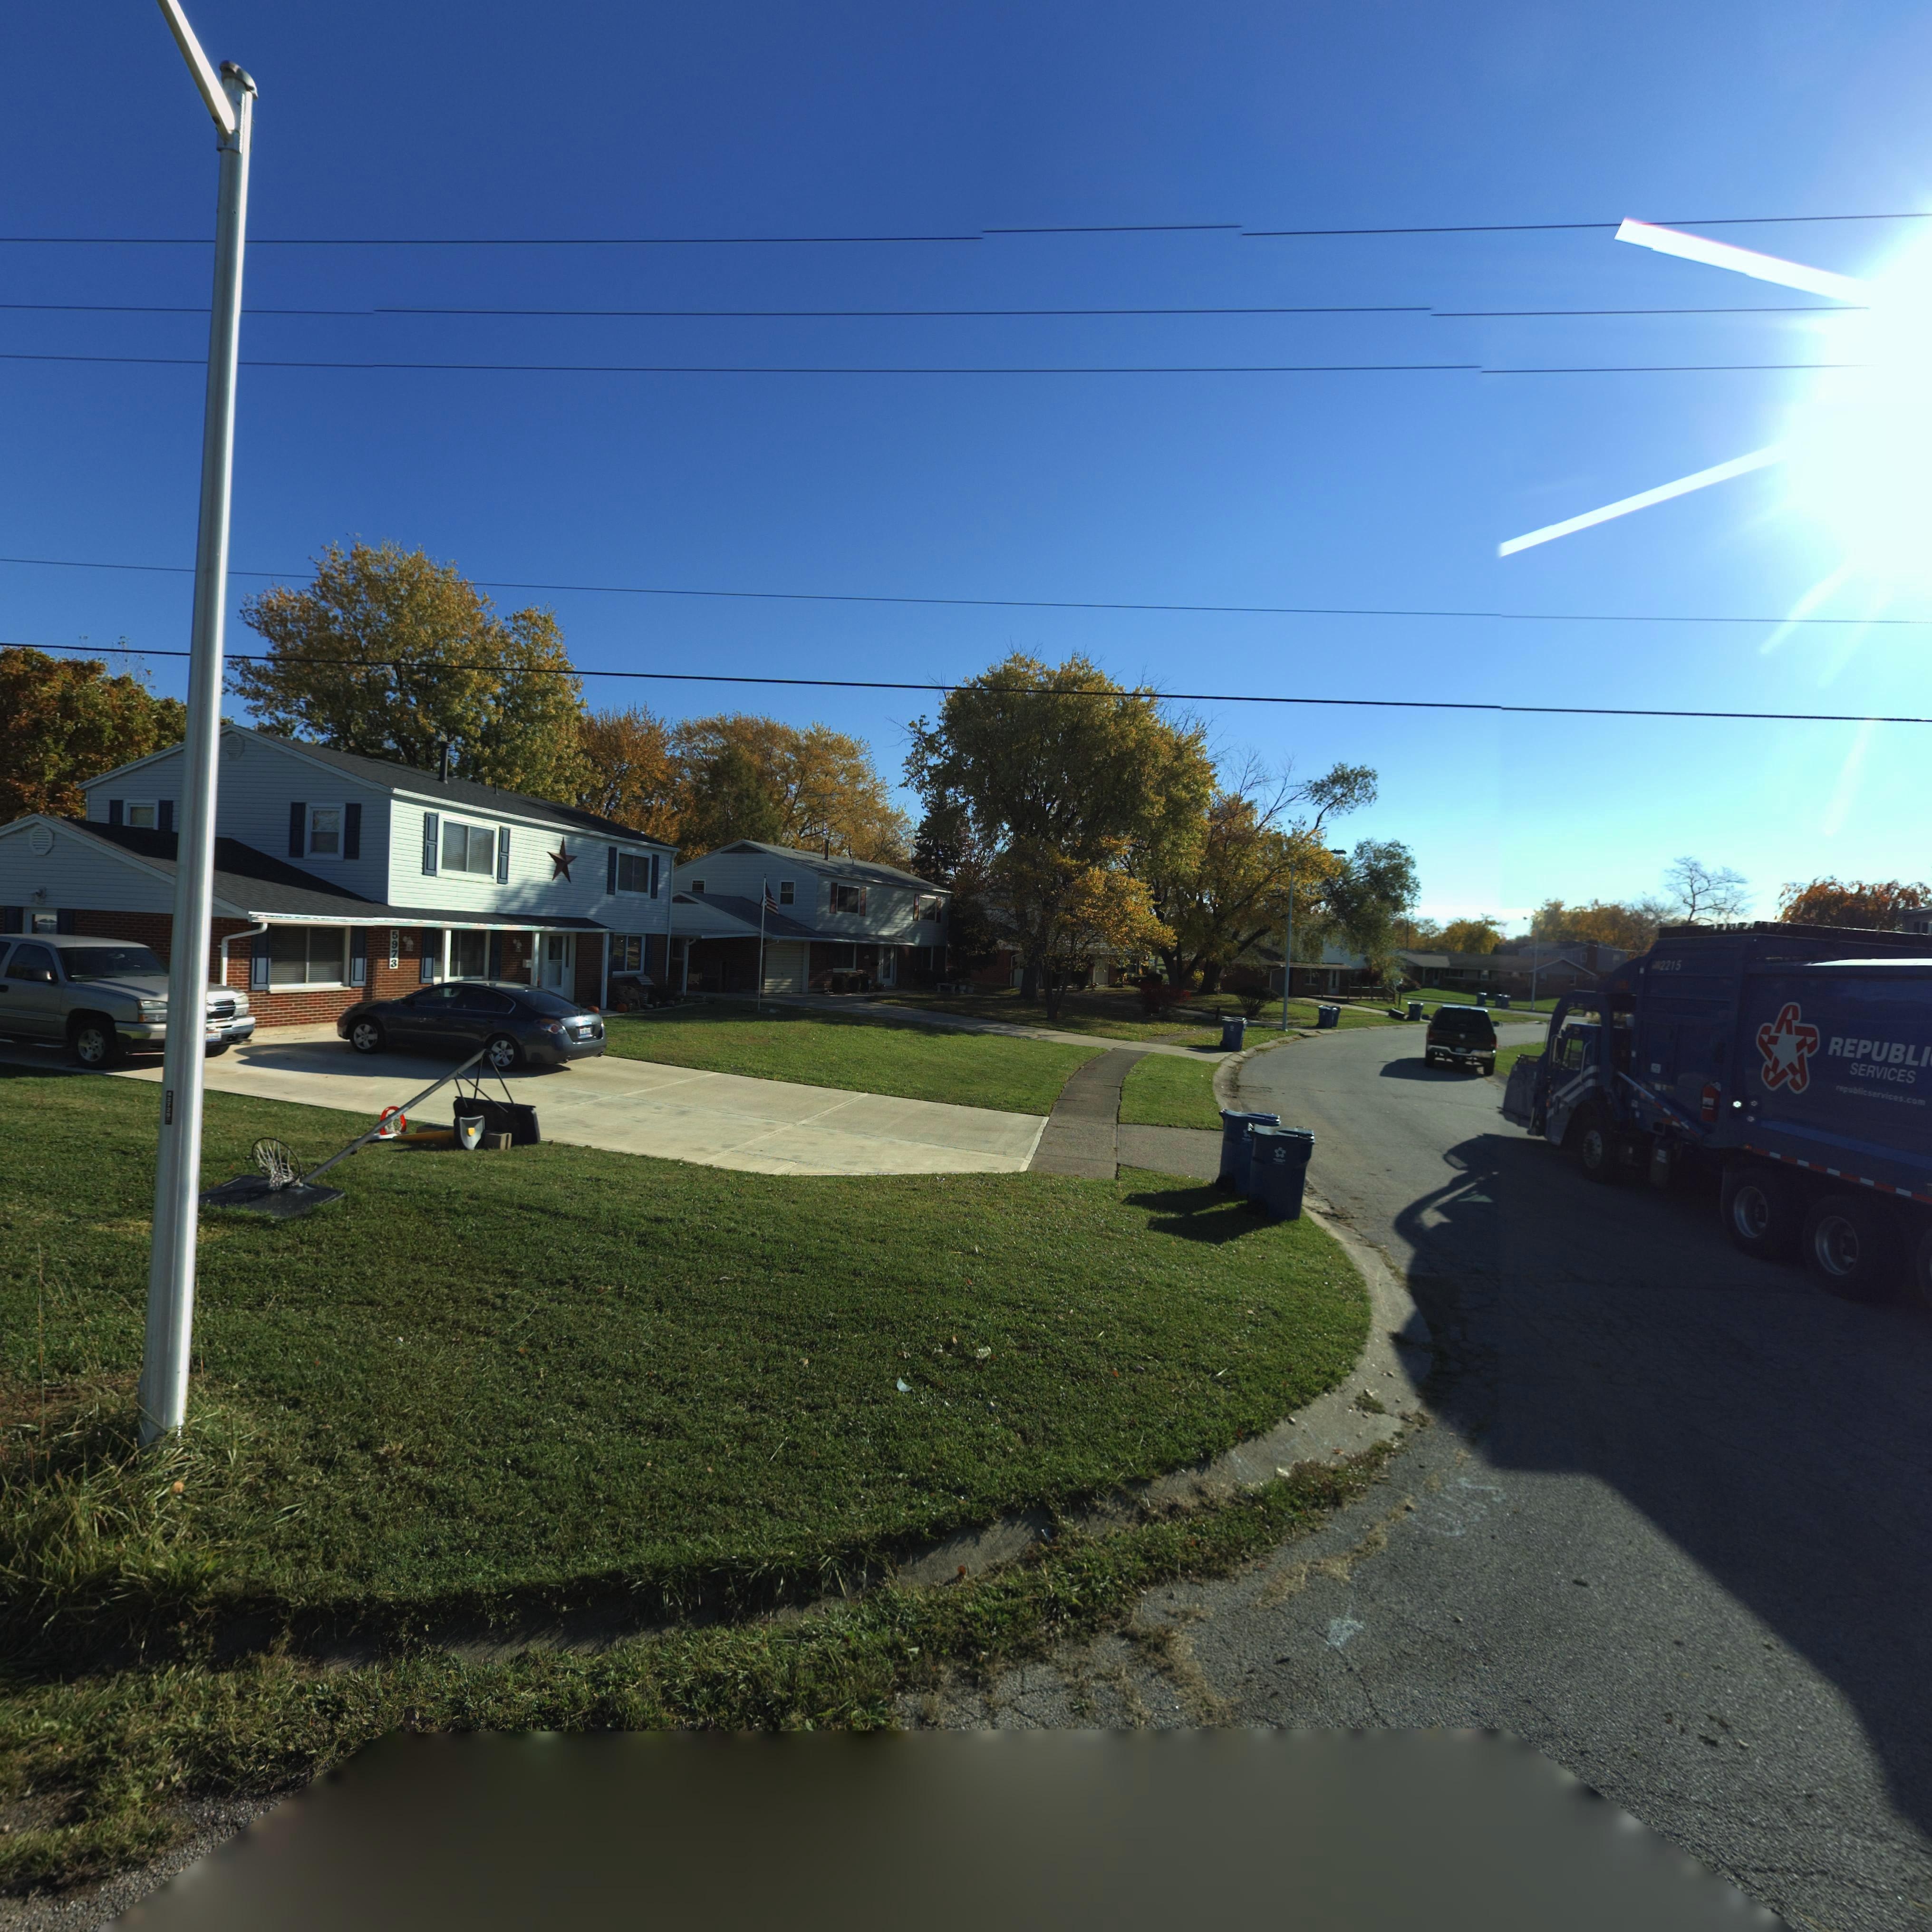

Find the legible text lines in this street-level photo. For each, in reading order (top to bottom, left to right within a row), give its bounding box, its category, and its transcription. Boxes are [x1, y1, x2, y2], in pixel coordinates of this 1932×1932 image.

[389, 930, 399, 969] StreetNumber: 5973